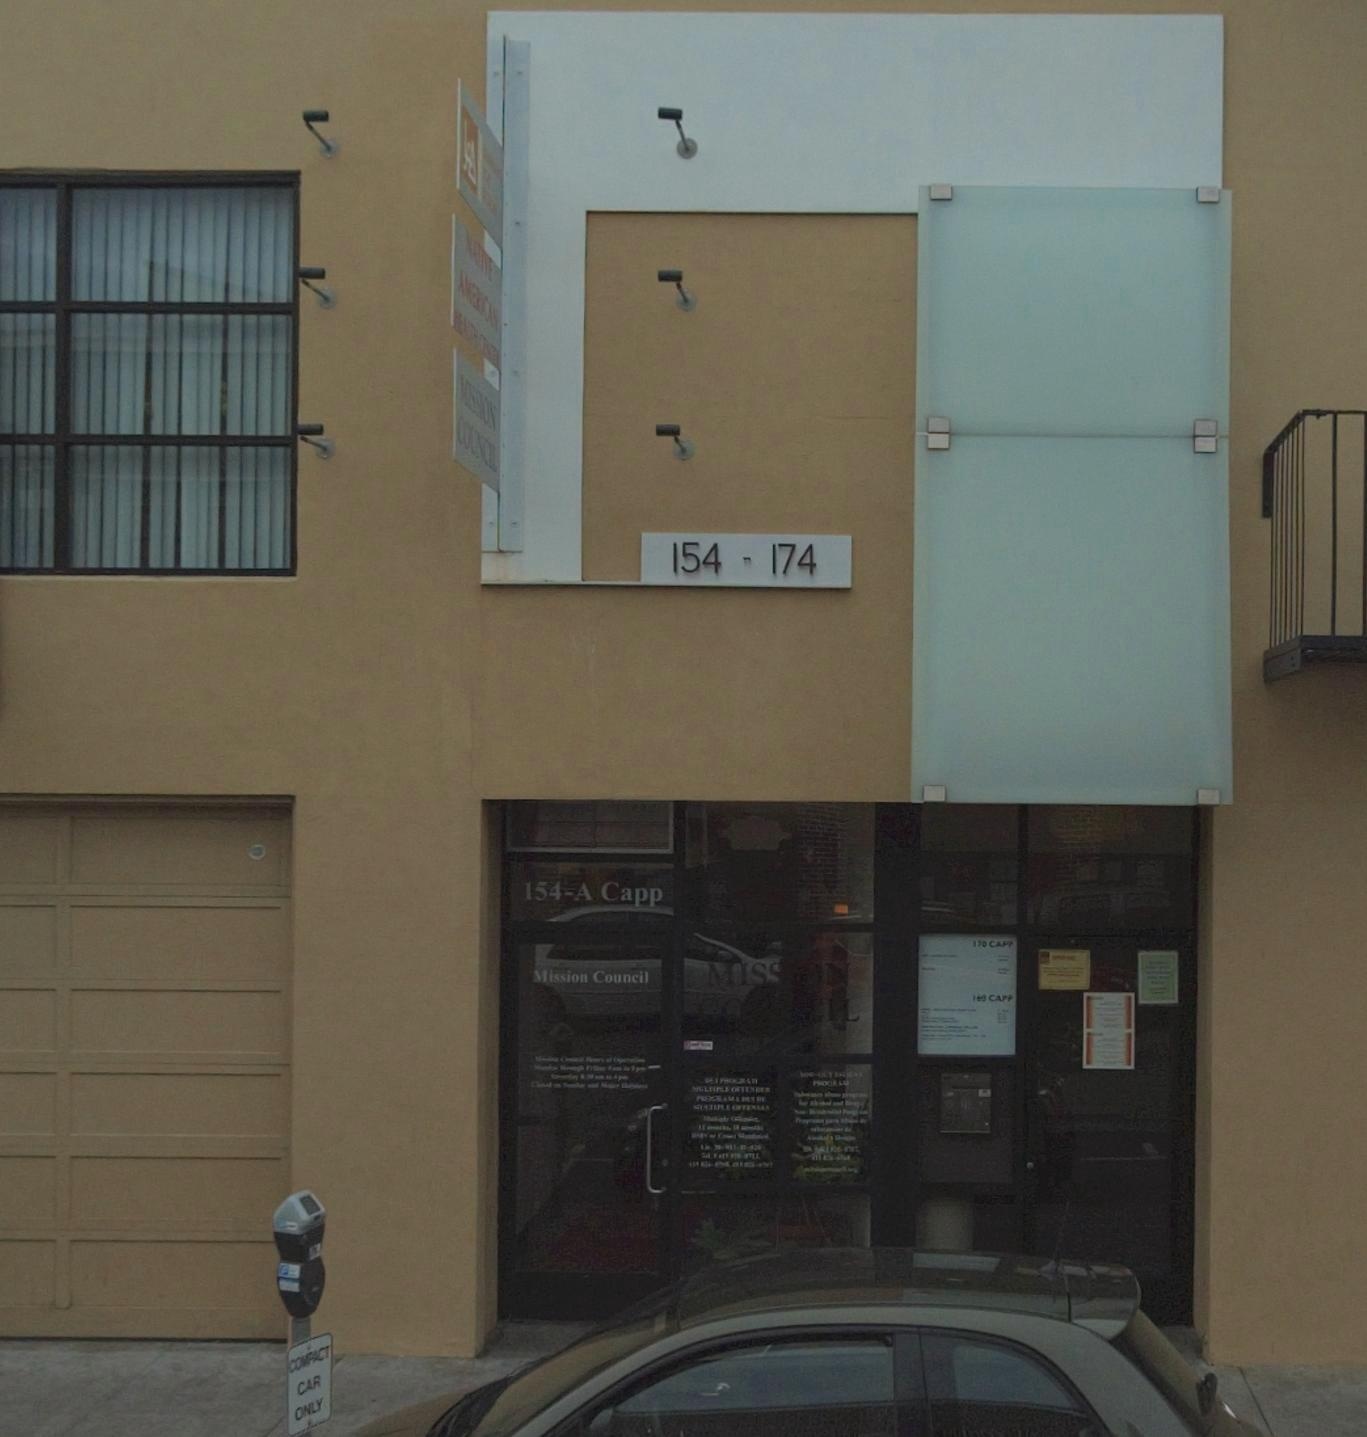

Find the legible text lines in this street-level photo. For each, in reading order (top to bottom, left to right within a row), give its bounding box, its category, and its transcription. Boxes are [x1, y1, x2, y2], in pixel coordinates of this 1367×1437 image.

[458, 372, 497, 434] BusinessName: MISSION
[456, 413, 498, 475] BusinessName: COUNCIL
[671, 540, 723, 578] StreetNumber: 154
[768, 542, 819, 576] StreetNumber: 174
[523, 879, 595, 903] StreetNumber: 154 A
[599, 881, 664, 909] StreetName: Capp
[972, 940, 988, 948] StreetNumber: 170
[988, 940, 1014, 948] StreetName: CAPP
[531, 968, 649, 984] BusinessName: Mission Council
[705, 960, 768, 988] BusinessName: MIS
[972, 993, 987, 1003] StreetNumber: 160
[987, 994, 1014, 1003] StreetName: CAPP
[288, 1343, 332, 1375] None: COMPACT
[296, 1373, 322, 1397] None: CAR
[293, 1395, 324, 1424] None: ONLY